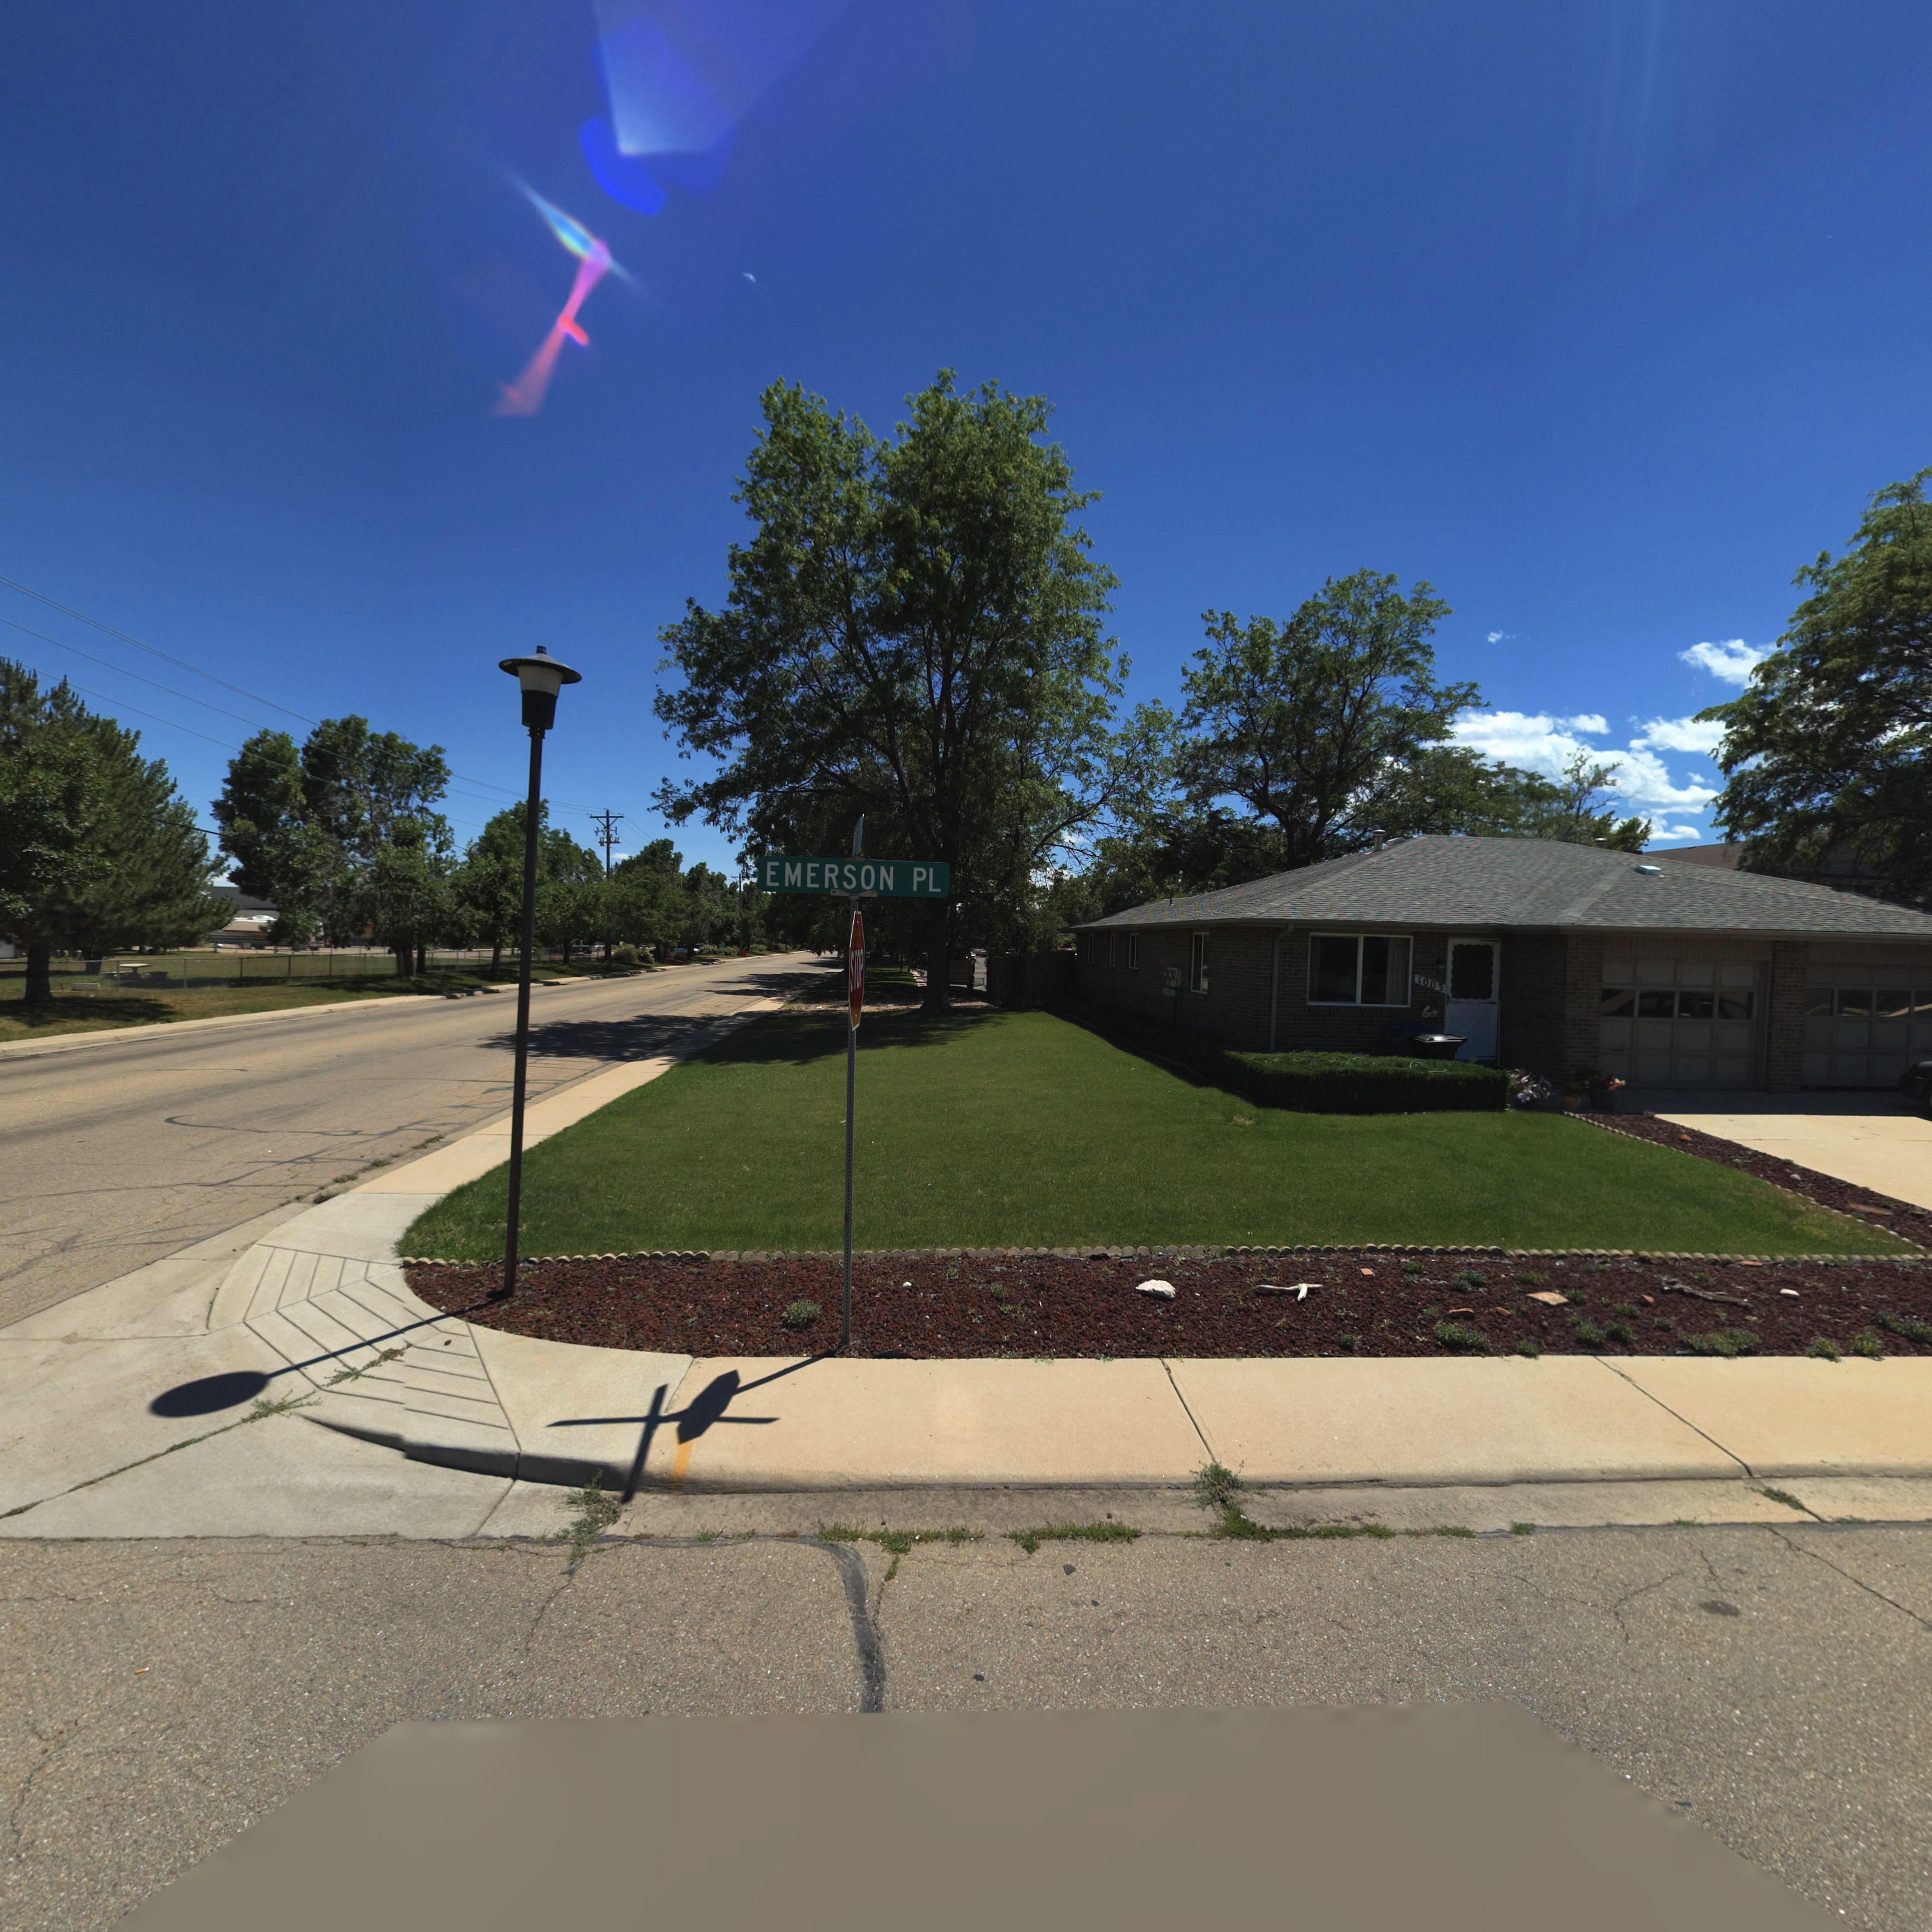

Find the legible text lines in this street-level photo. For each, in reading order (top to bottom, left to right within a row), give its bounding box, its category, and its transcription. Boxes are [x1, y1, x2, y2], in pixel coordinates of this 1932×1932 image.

[766, 861, 942, 893] StreetName: EMERSON PL
[1418, 975, 1443, 992] StreetNumber: 1003